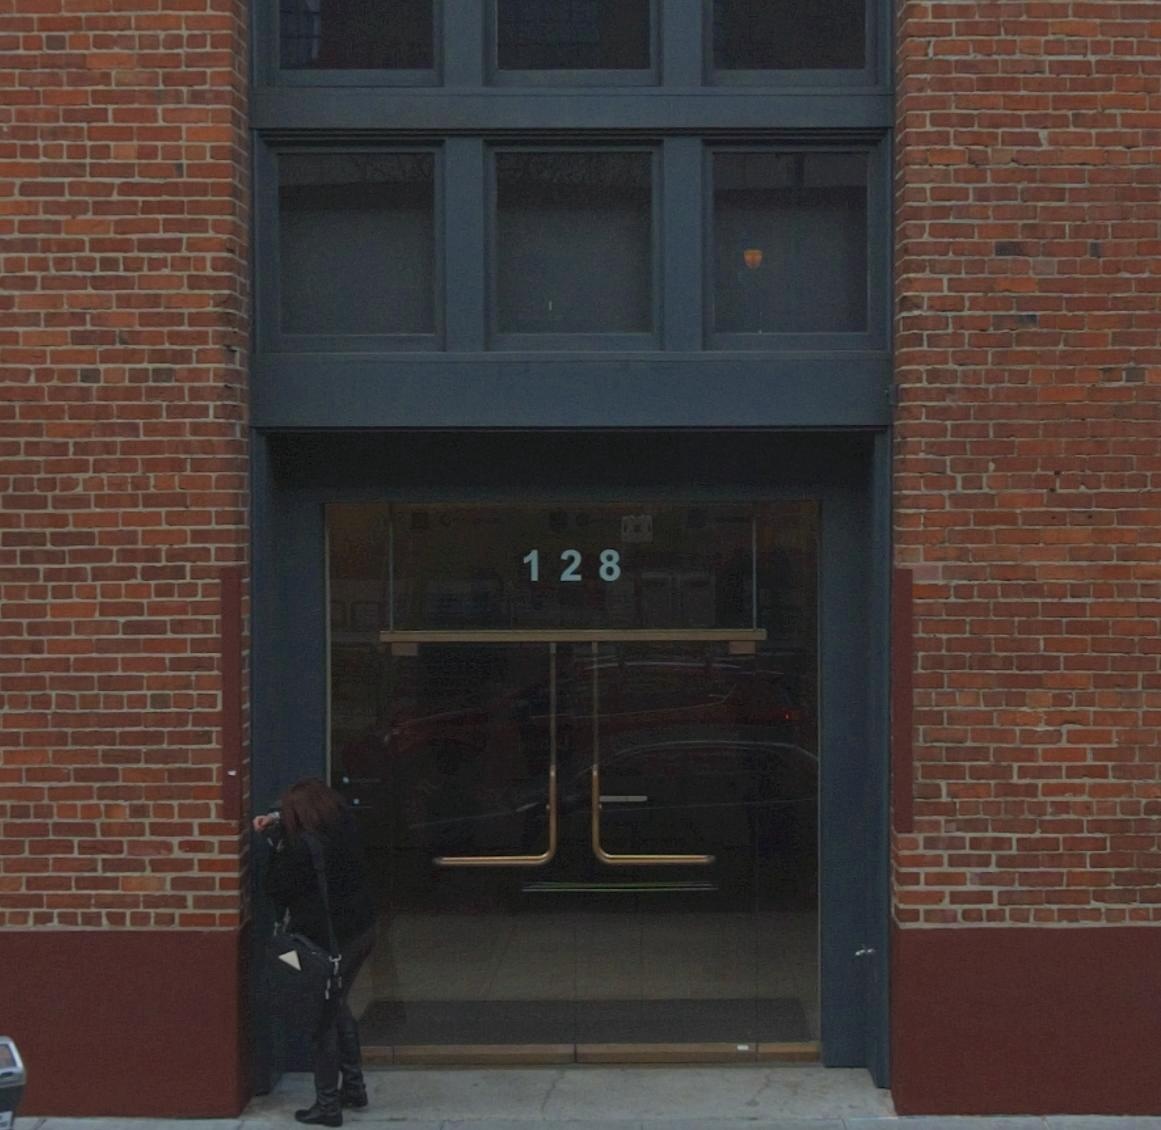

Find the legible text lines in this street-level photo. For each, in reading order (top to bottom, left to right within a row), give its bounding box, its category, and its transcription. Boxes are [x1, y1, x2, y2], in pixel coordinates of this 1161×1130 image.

[520, 546, 623, 584] StreetNumber: 128